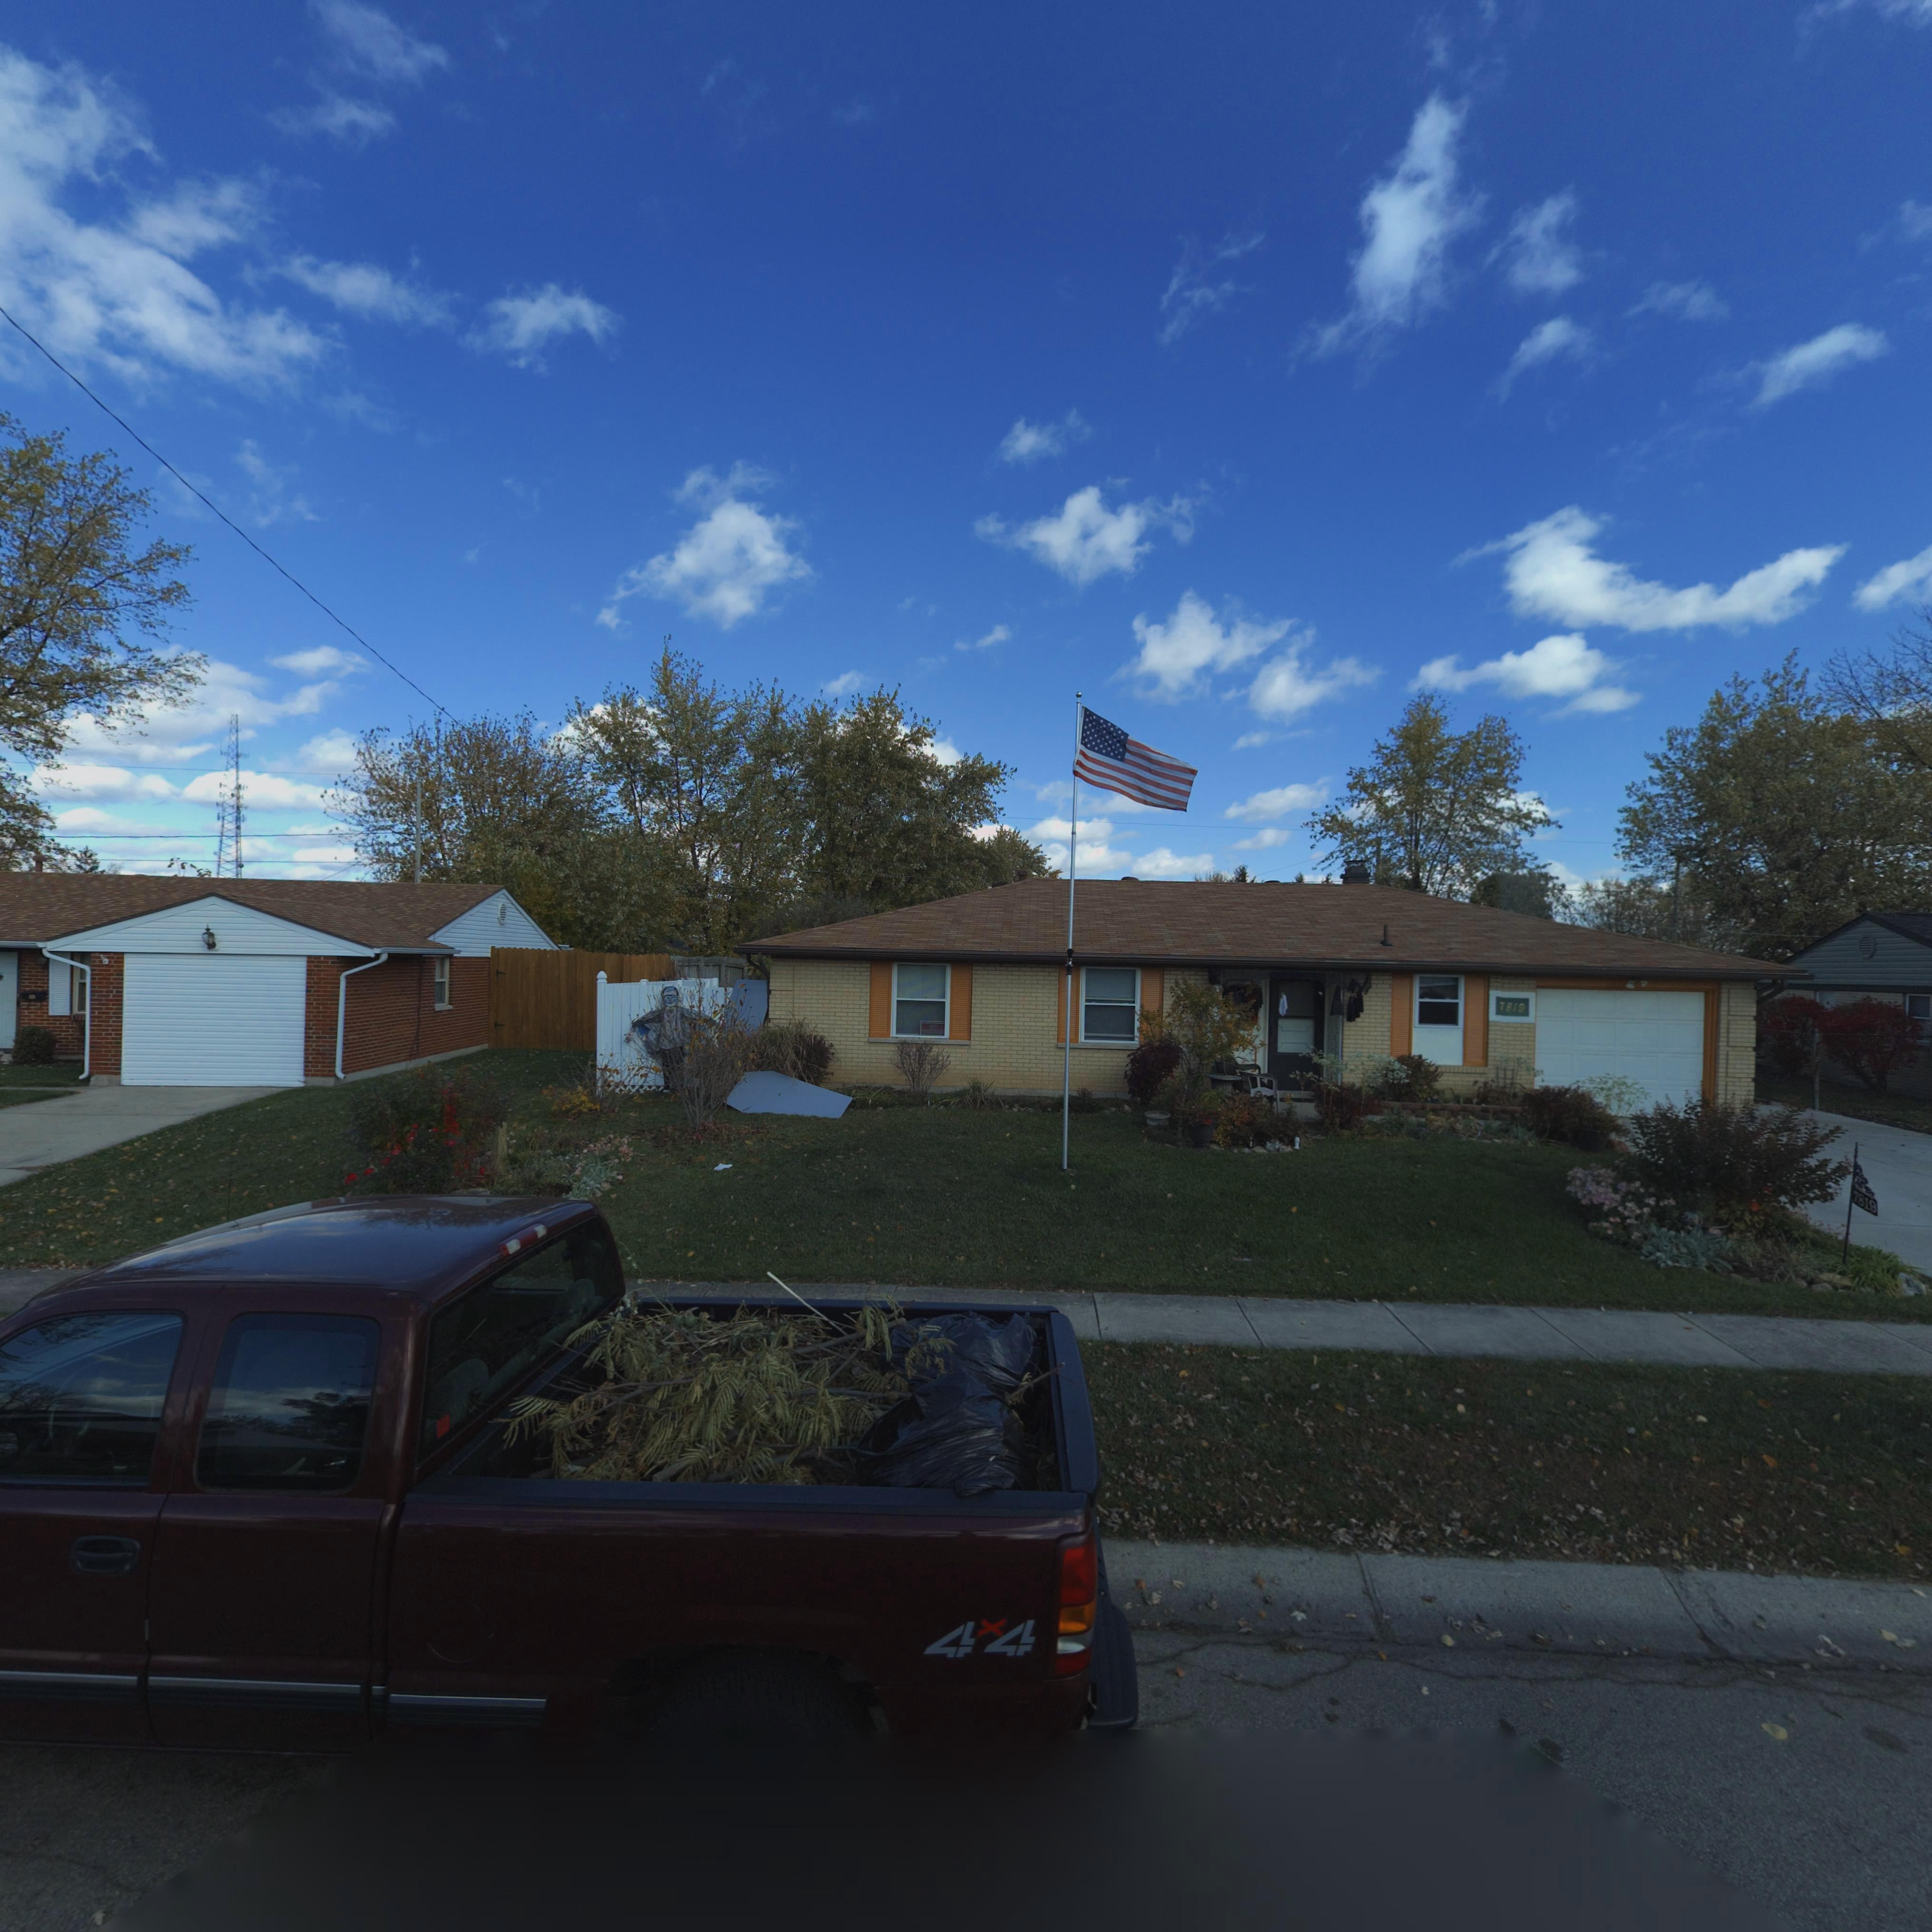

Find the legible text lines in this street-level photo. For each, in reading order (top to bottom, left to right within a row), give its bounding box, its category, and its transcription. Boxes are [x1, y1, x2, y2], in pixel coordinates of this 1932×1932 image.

[1499, 1001, 1526, 1013] StreetNumber: 7819
[1853, 1189, 1877, 1214] StreetNumber: 7819